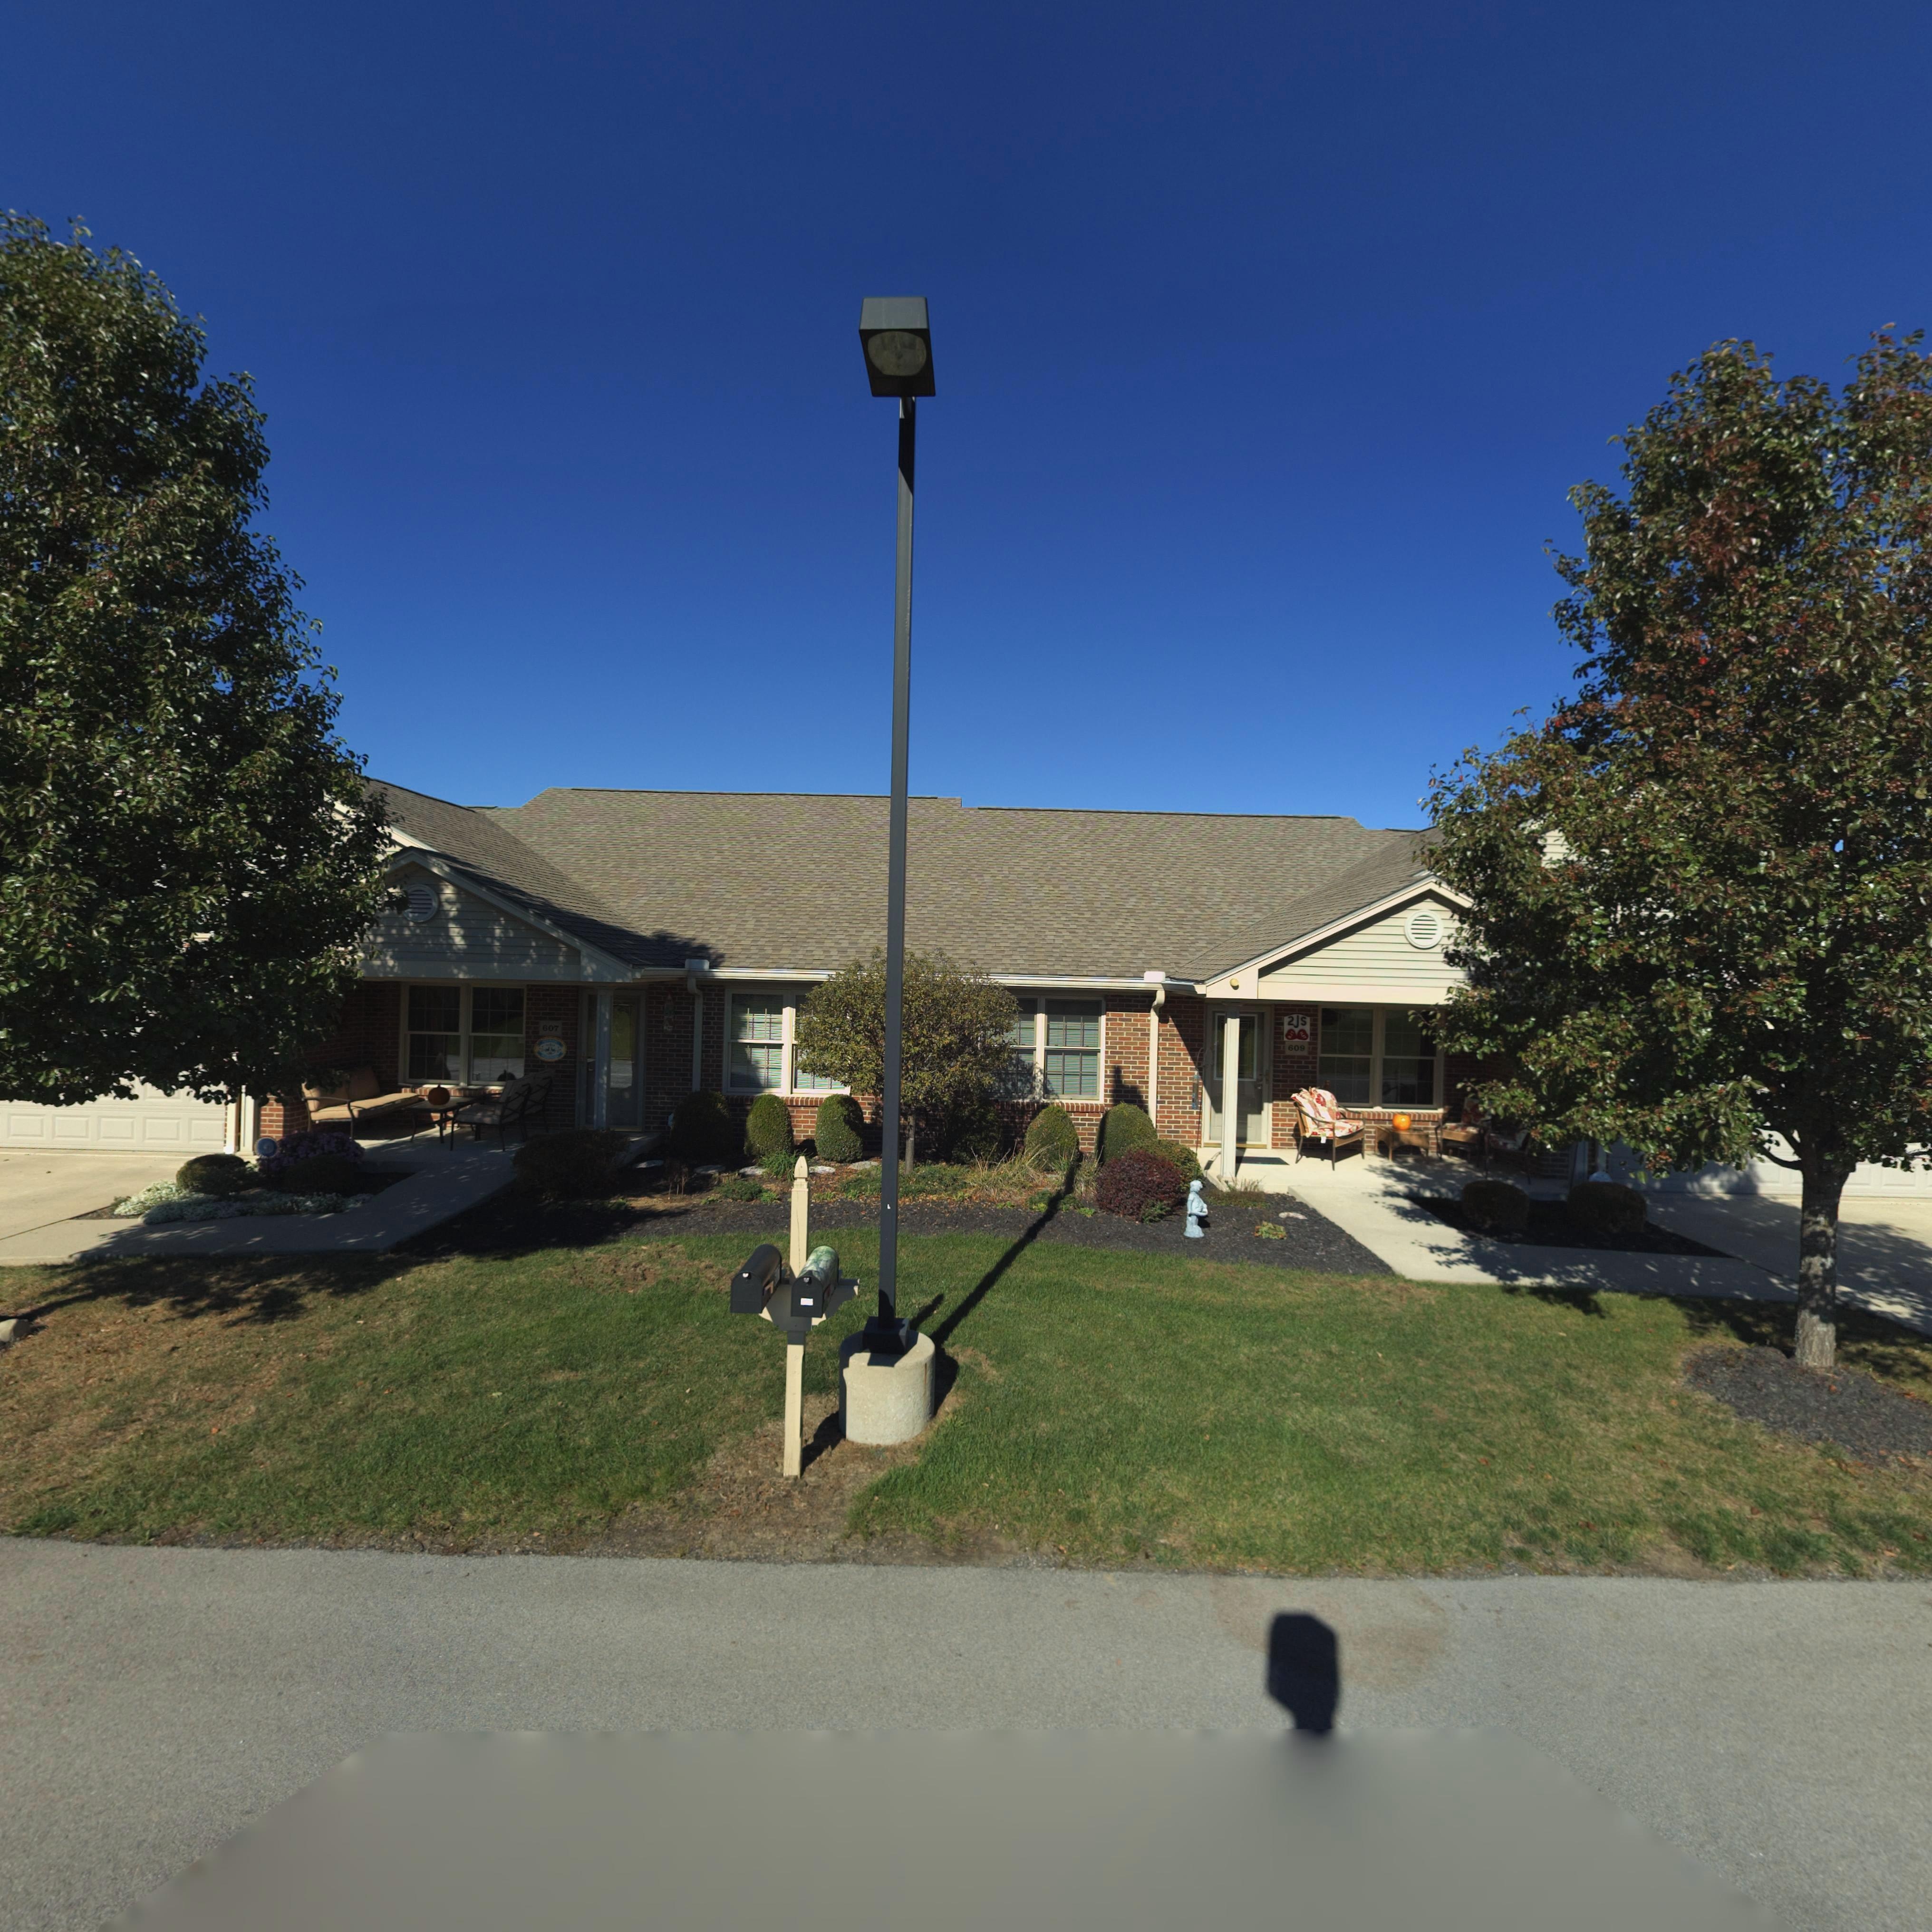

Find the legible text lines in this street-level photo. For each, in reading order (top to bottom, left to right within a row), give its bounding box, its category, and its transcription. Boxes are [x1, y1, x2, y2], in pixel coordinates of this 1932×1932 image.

[542, 1024, 560, 1032] StreetNumber: 607
[1288, 1044, 1305, 1052] StreetNumber: 609